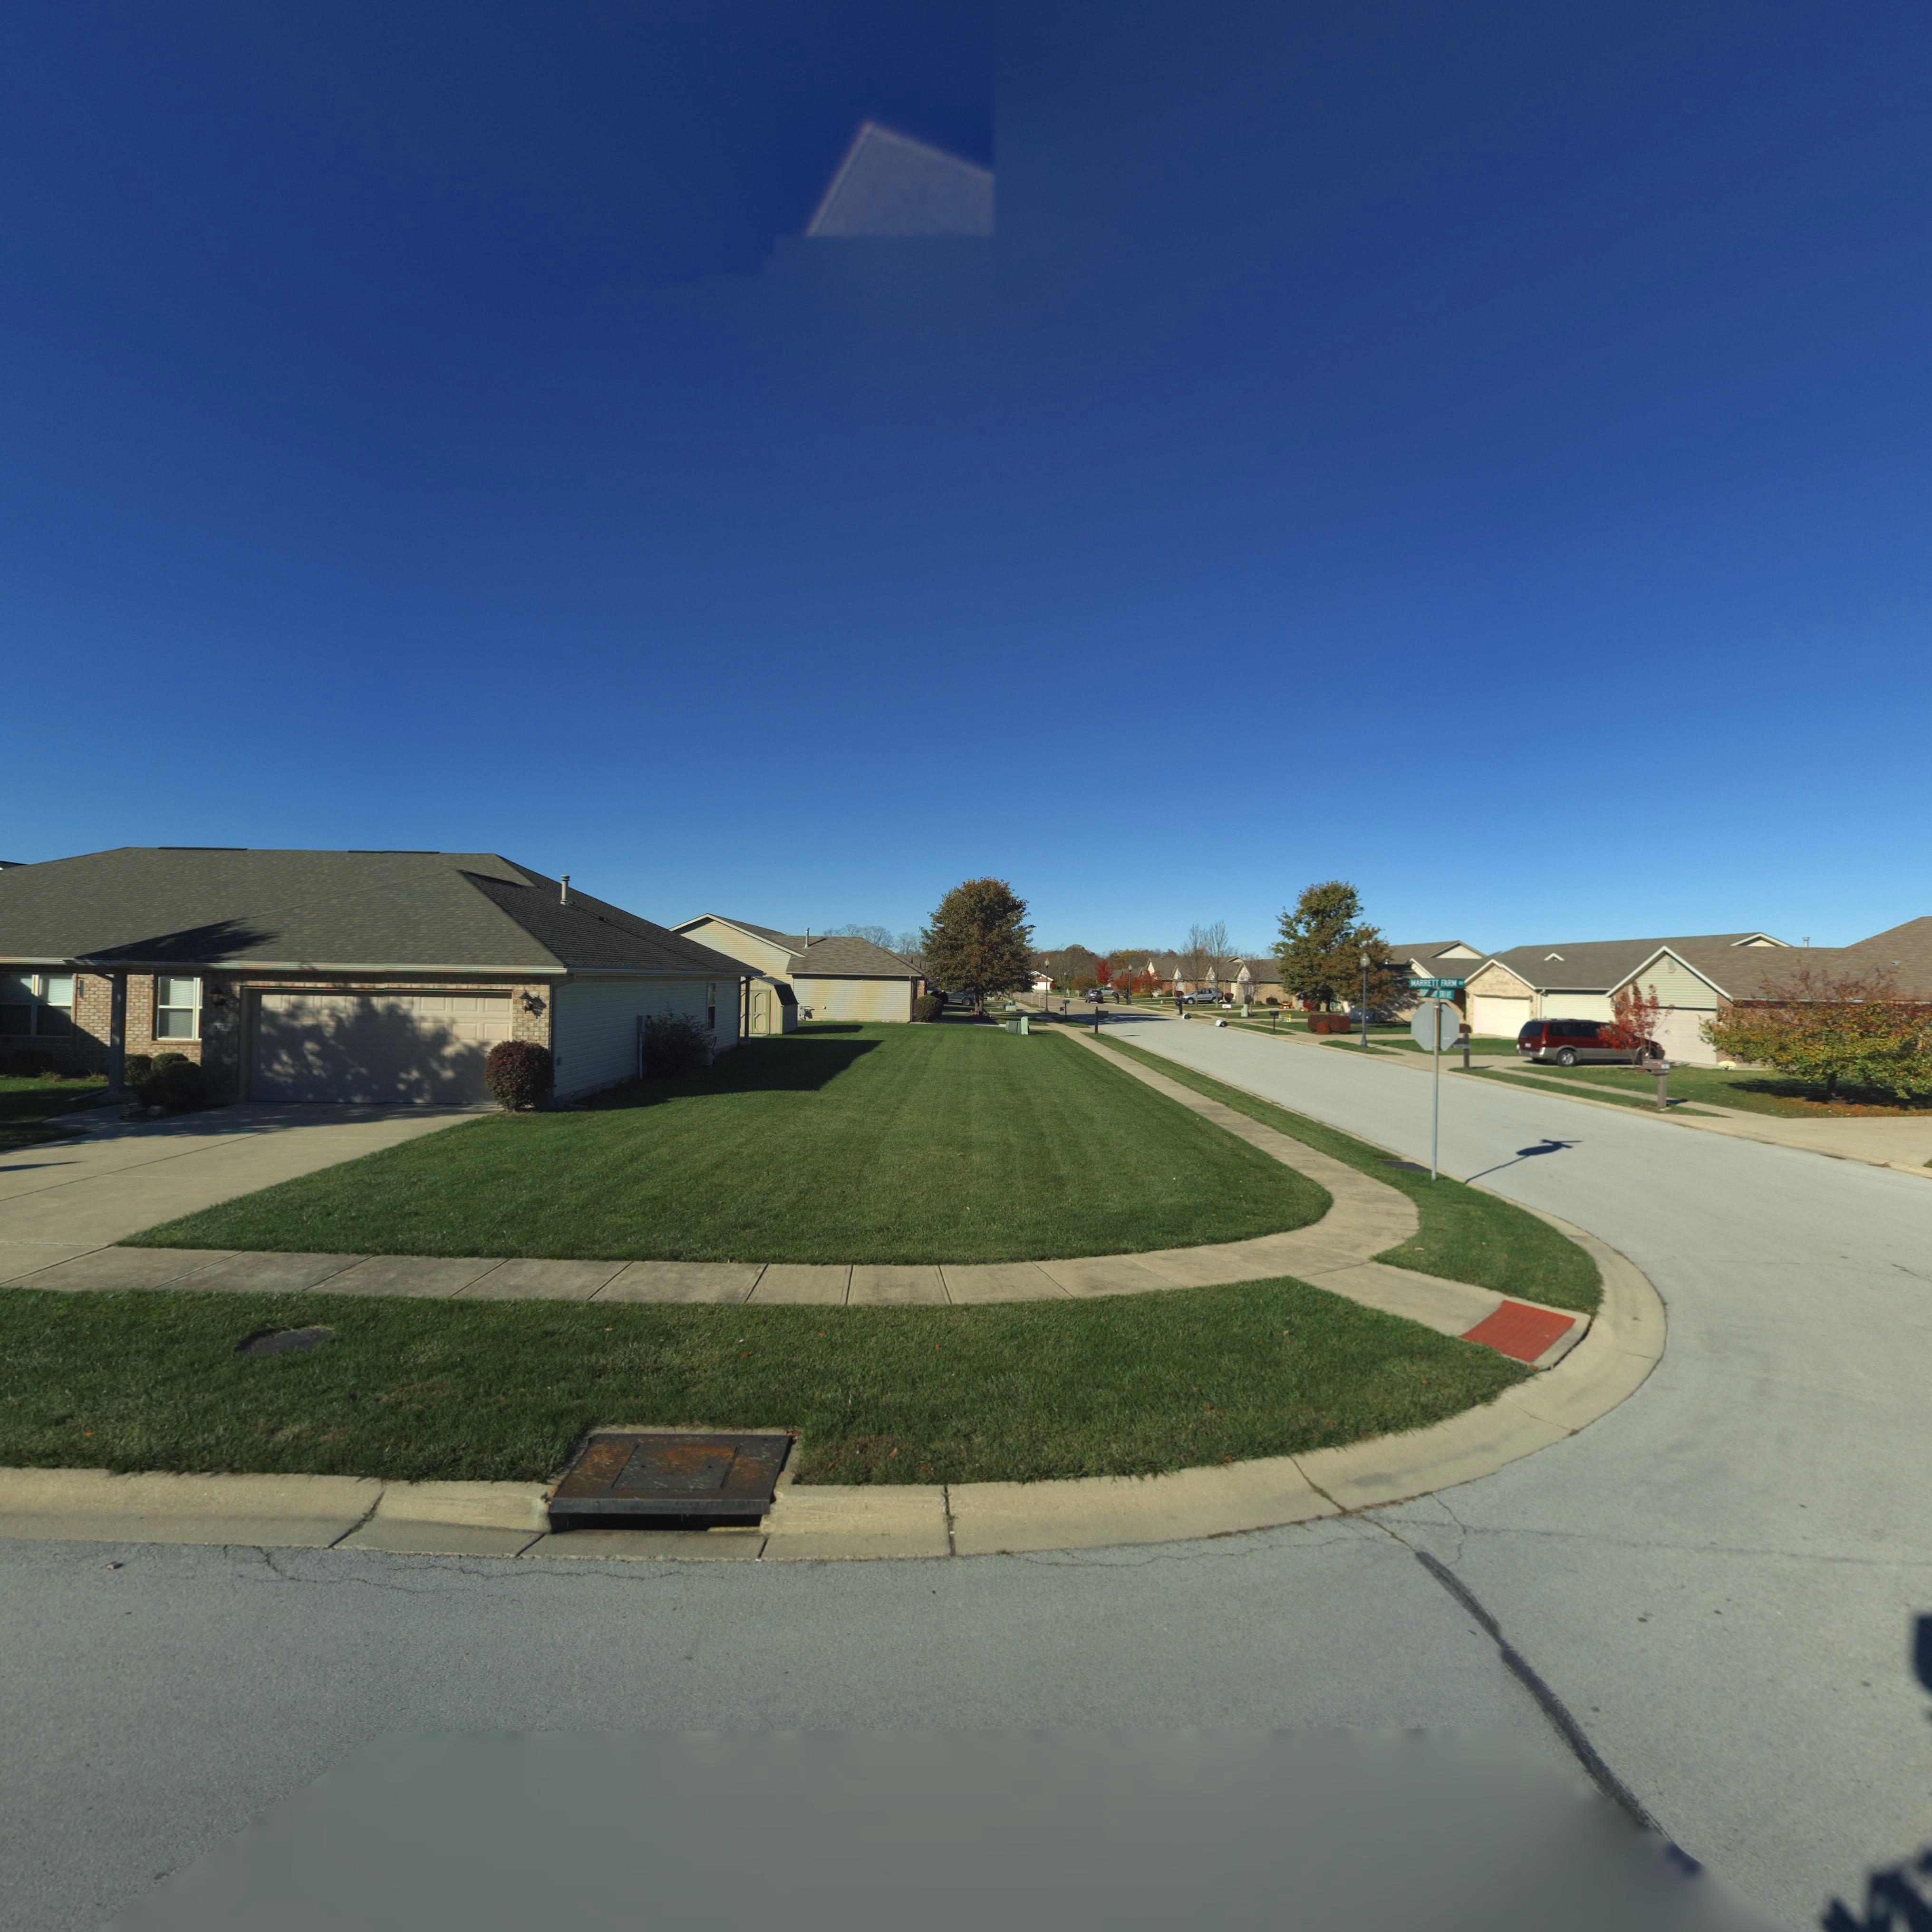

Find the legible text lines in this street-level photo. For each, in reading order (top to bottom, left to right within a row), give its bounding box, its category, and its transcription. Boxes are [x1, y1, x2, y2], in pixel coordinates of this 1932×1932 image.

[214, 1024, 228, 1030] StreetNumber: 1*8